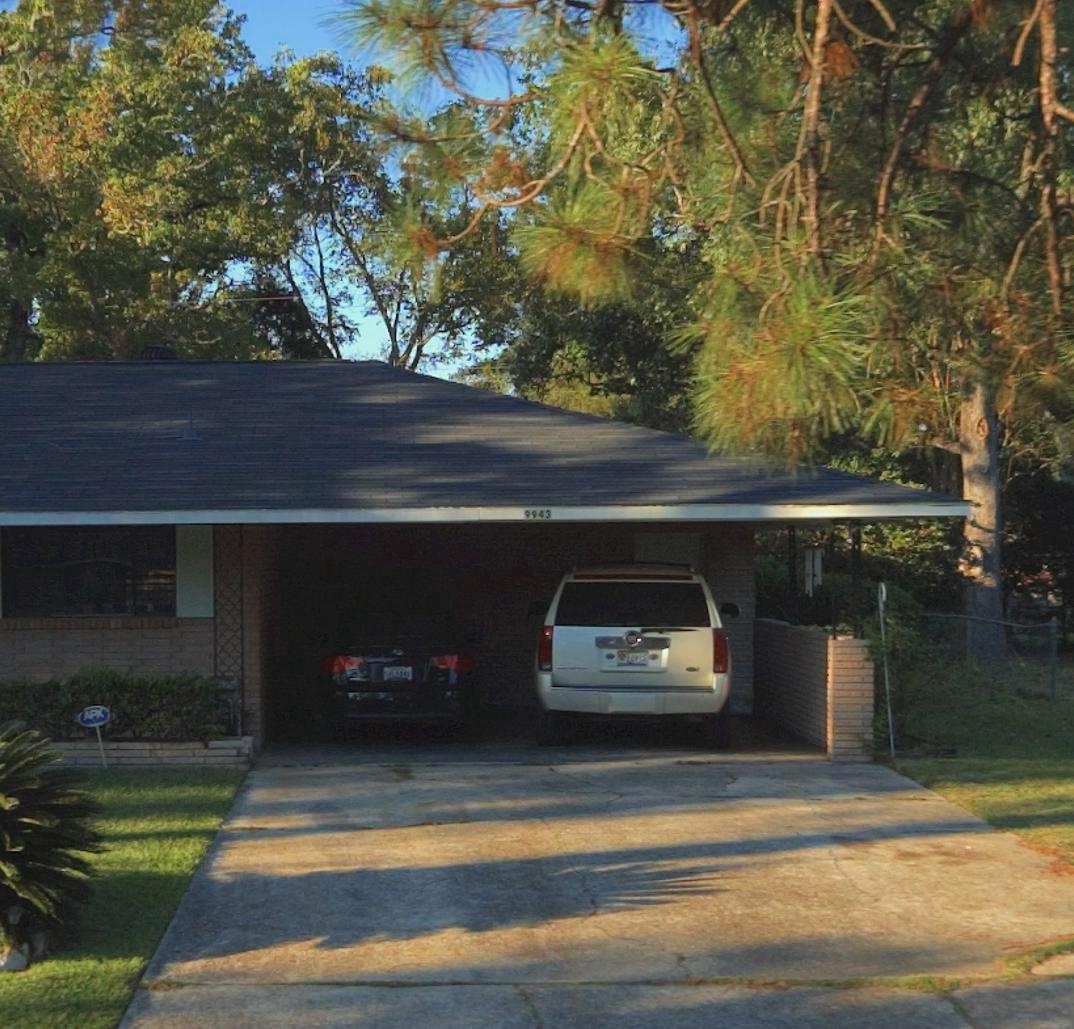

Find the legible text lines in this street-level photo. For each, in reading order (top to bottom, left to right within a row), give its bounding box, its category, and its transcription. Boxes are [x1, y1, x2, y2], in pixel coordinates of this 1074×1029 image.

[524, 509, 553, 520] StreetNumber: 9943
[82, 706, 106, 721] None: APX